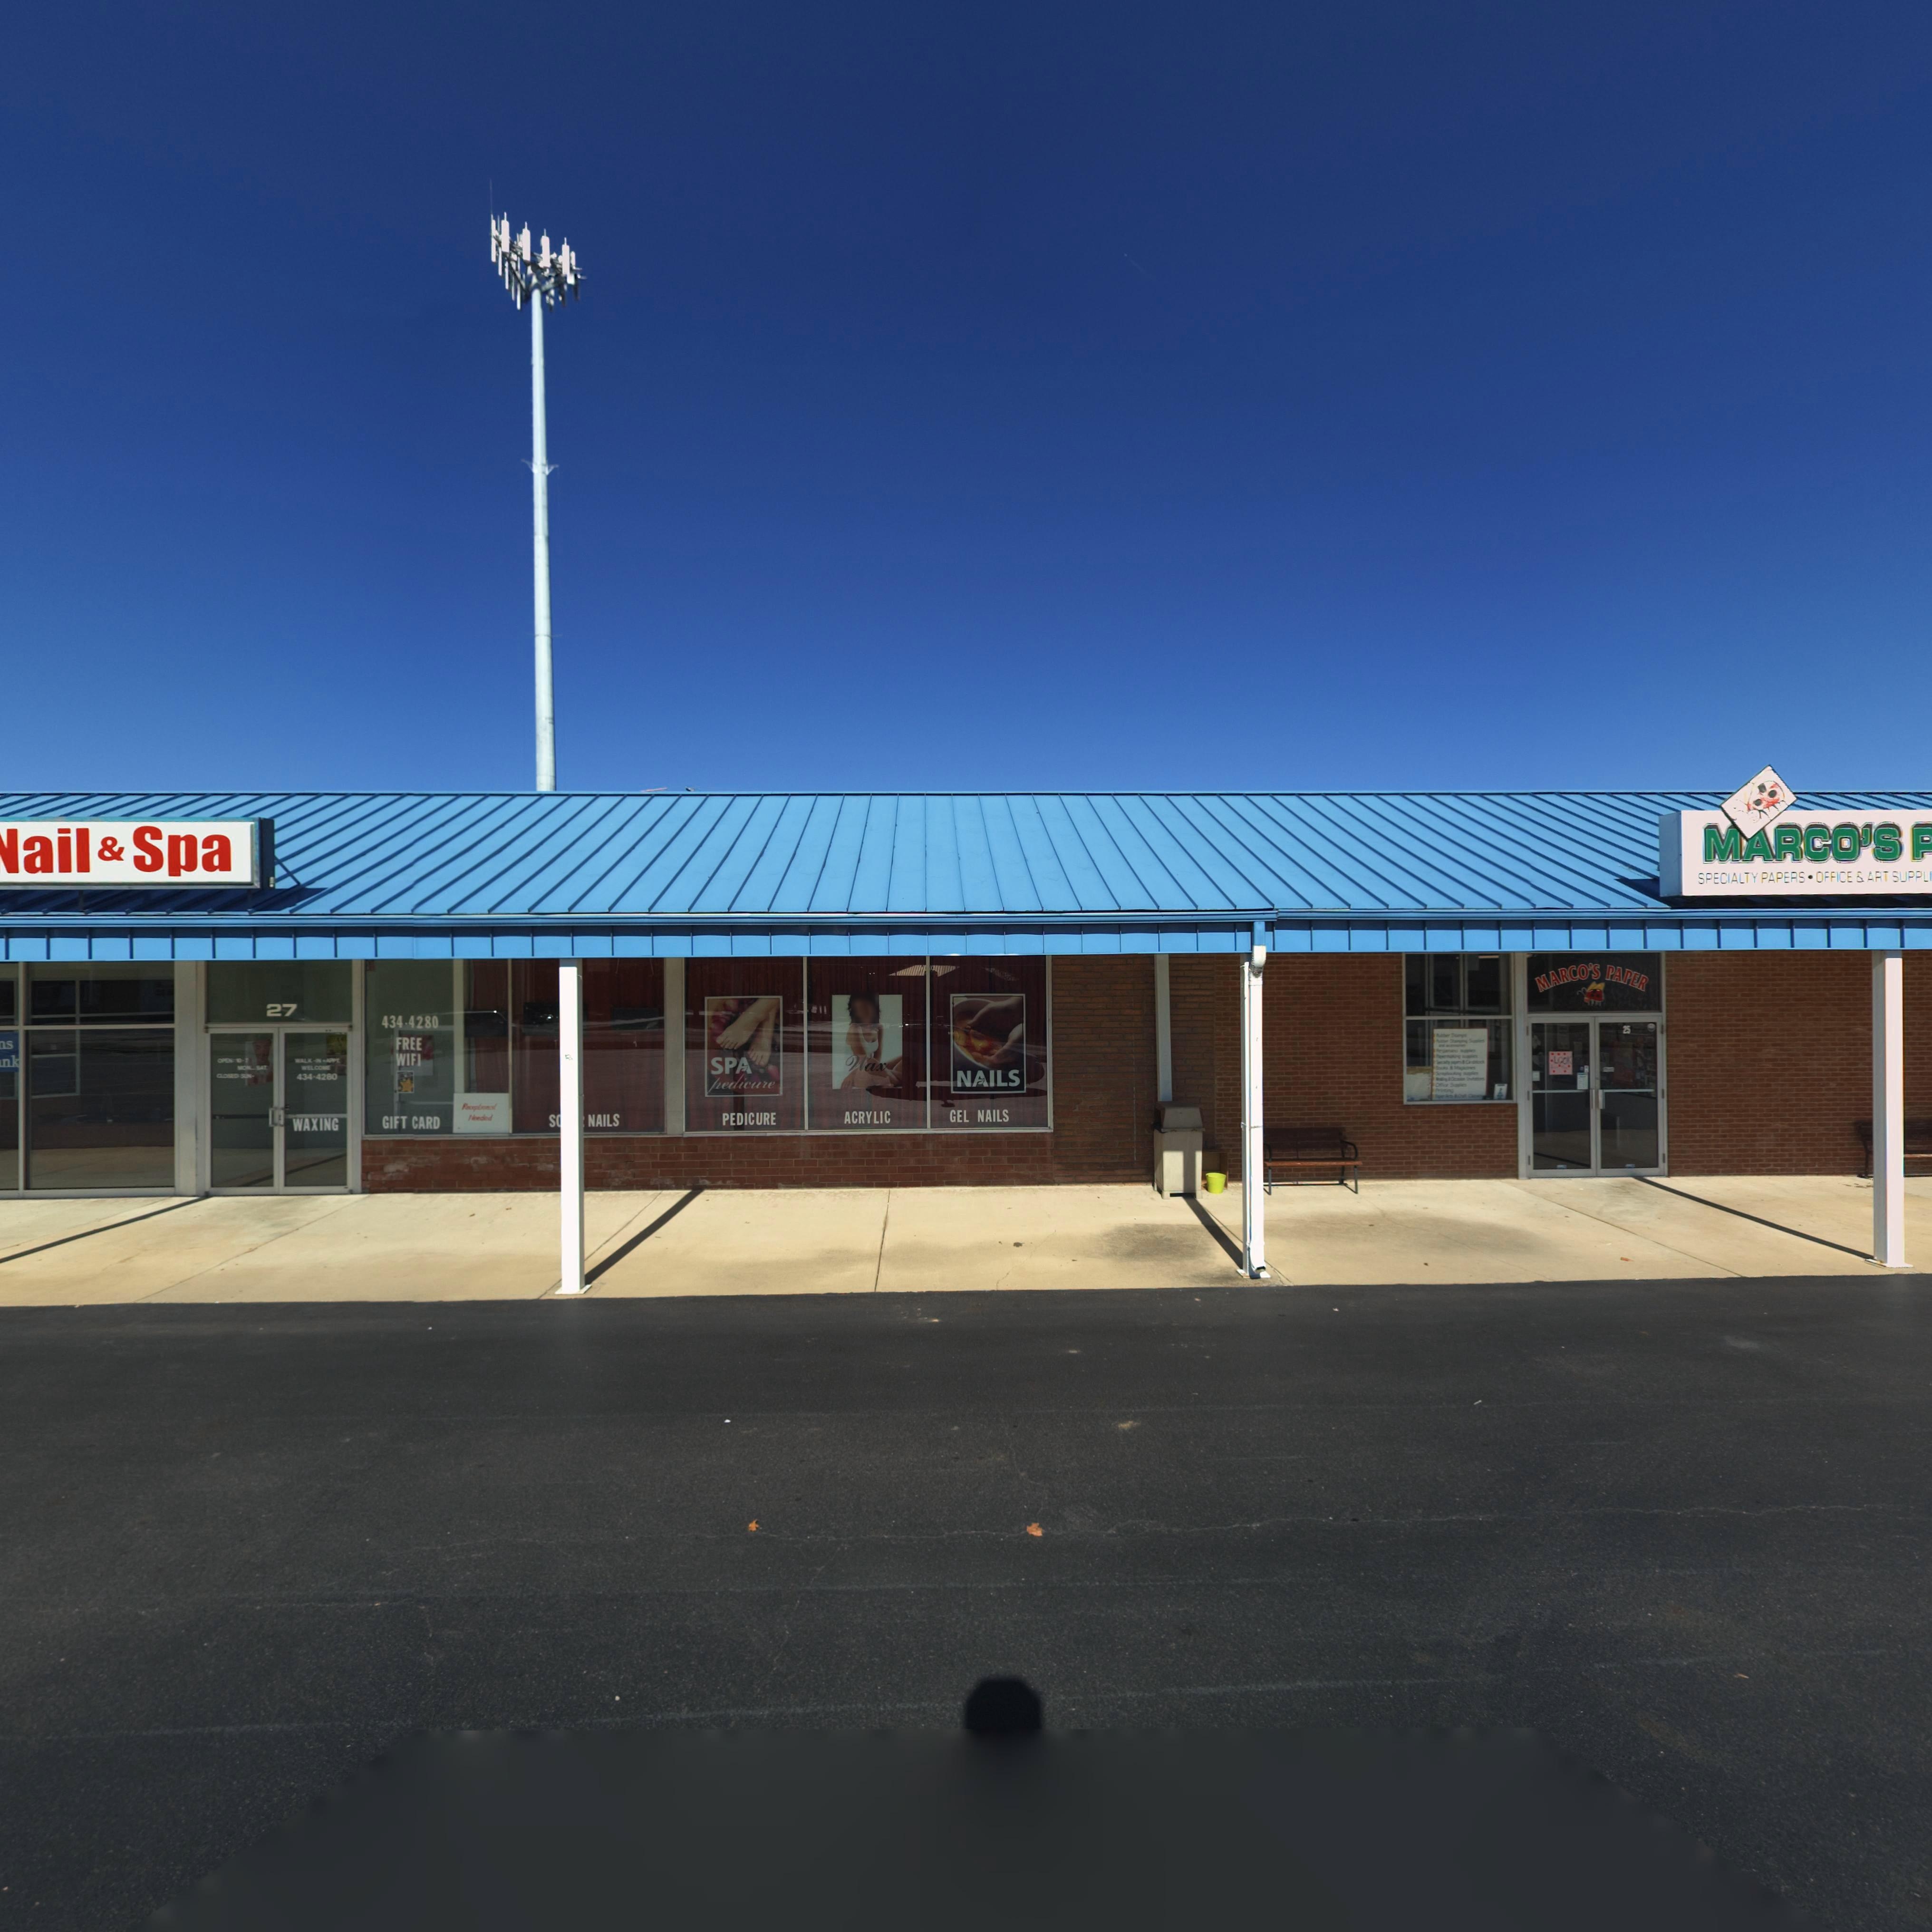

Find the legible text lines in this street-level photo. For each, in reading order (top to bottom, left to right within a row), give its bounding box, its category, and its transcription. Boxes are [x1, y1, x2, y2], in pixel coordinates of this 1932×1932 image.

[1701, 821, 1907, 865] BusinessName: MARCO'S
[21, 824, 233, 879] BusinessName: ail & Spa
[1698, 870, 1930, 885] None: SPECIALTY PAPERS * OFFICE & ART SUPPL
[1533, 962, 1651, 993] BusinessName: MARCO'S PAPER
[265, 1003, 299, 1018] StreetNumber: 27
[380, 1014, 440, 1029] None: 434-4280
[1622, 1024, 1633, 1035] StreetNumber: 25
[5, 1040, 14, 1050] BusinessName: s
[395, 1036, 423, 1052] None: FREE
[0, 1054, 20, 1069] BusinessName: nk
[216, 1057, 250, 1064] None: OPEN: 10-7
[236, 1065, 251, 1071] None: MON
[255, 1064, 269, 1071] None: SAT.
[300, 1065, 331, 1071] None: WELCOME
[293, 1058, 341, 1064] None: WALK-IN + APPT.
[395, 1053, 422, 1068] None: WIFI
[710, 1056, 753, 1075] None: SPA
[845, 1053, 890, 1072] None: Wax
[216, 1073, 252, 1079] None: CLOSED: SUN
[295, 1072, 338, 1081] None: 434-4280
[956, 1068, 1021, 1088] None: NAILS
[705, 1077, 777, 1095] None: pedicure
[461, 1102, 499, 1113] None: Receptionist
[291, 1117, 339, 1132] None: WAXING
[382, 1115, 441, 1130] None: GIFT CARD
[467, 1113, 494, 1121] None: Needed
[548, 1113, 620, 1128] None: S**** NAILS
[722, 1111, 777, 1126] None: PEDICURE
[843, 1110, 891, 1125] None: ACRYLIC
[949, 1109, 1010, 1123] None: GEL NAILS